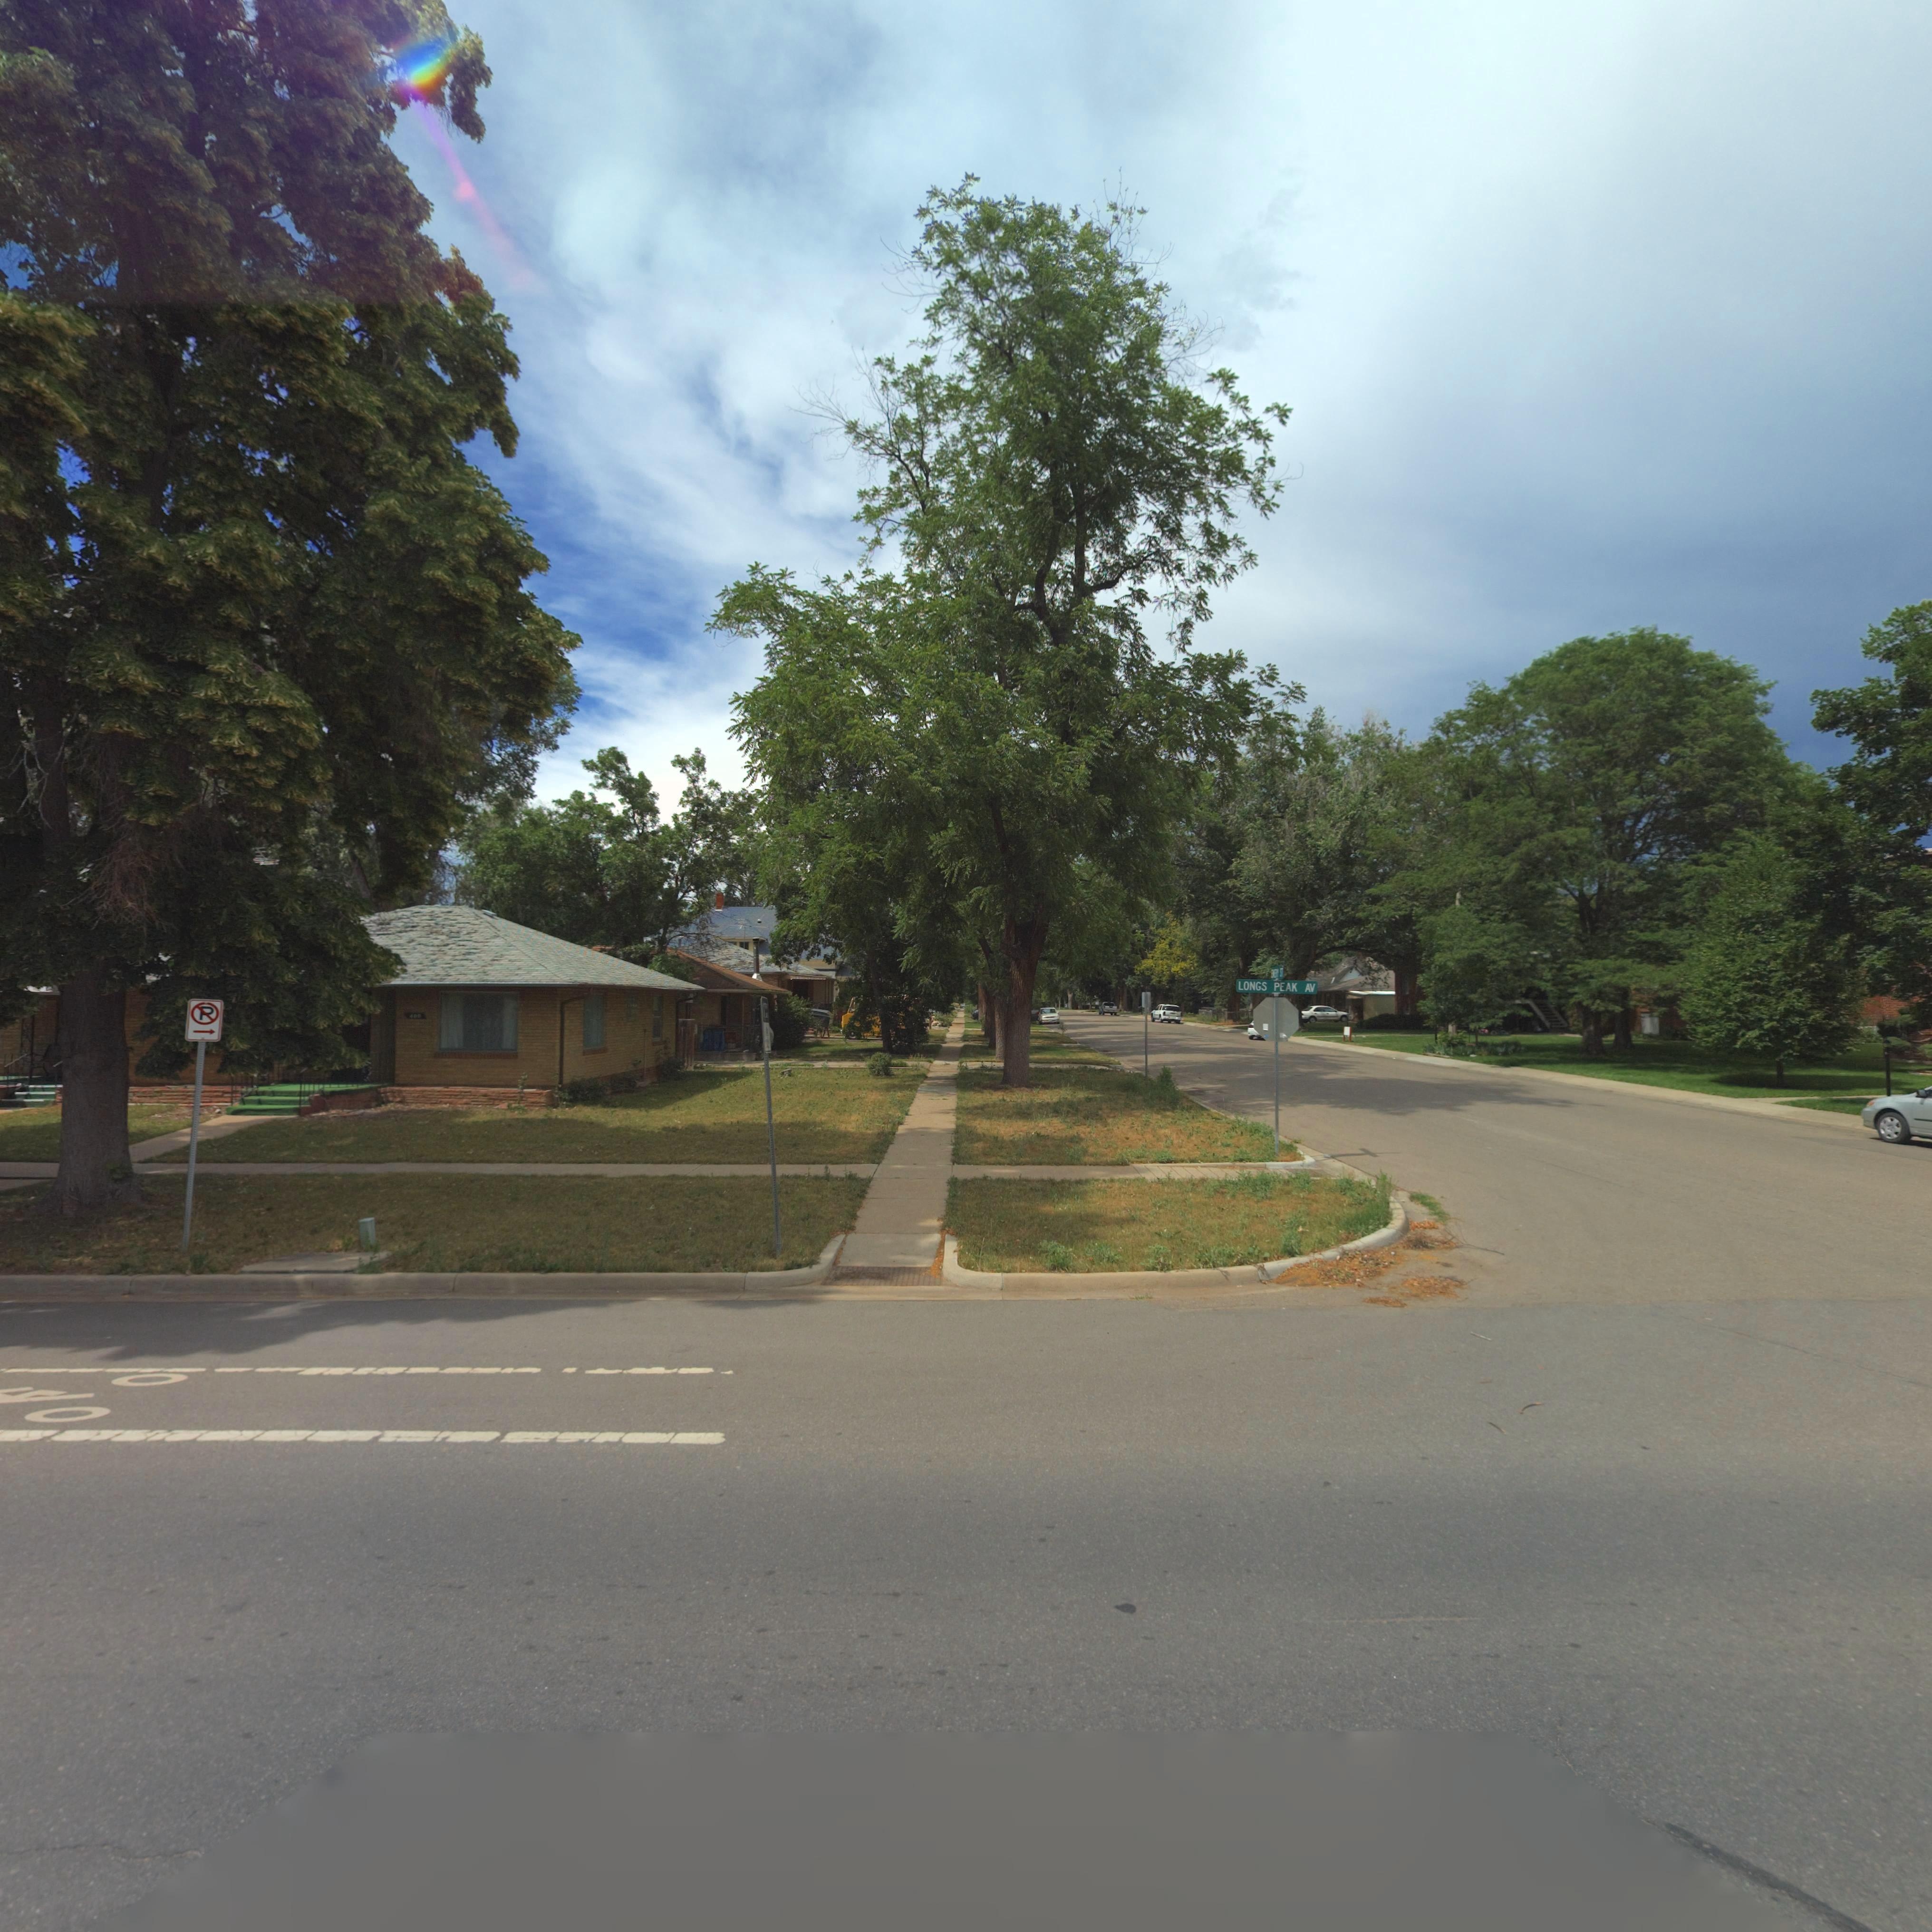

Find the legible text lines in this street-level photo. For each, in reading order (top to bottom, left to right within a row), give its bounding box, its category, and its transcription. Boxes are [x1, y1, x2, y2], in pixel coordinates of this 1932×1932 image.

[1270, 967, 1283, 978] StreetName: EMERY ST
[1237, 980, 1316, 993] StreetName: LONGS PEAK AV
[408, 1013, 422, 1020] StreetNumber: 400